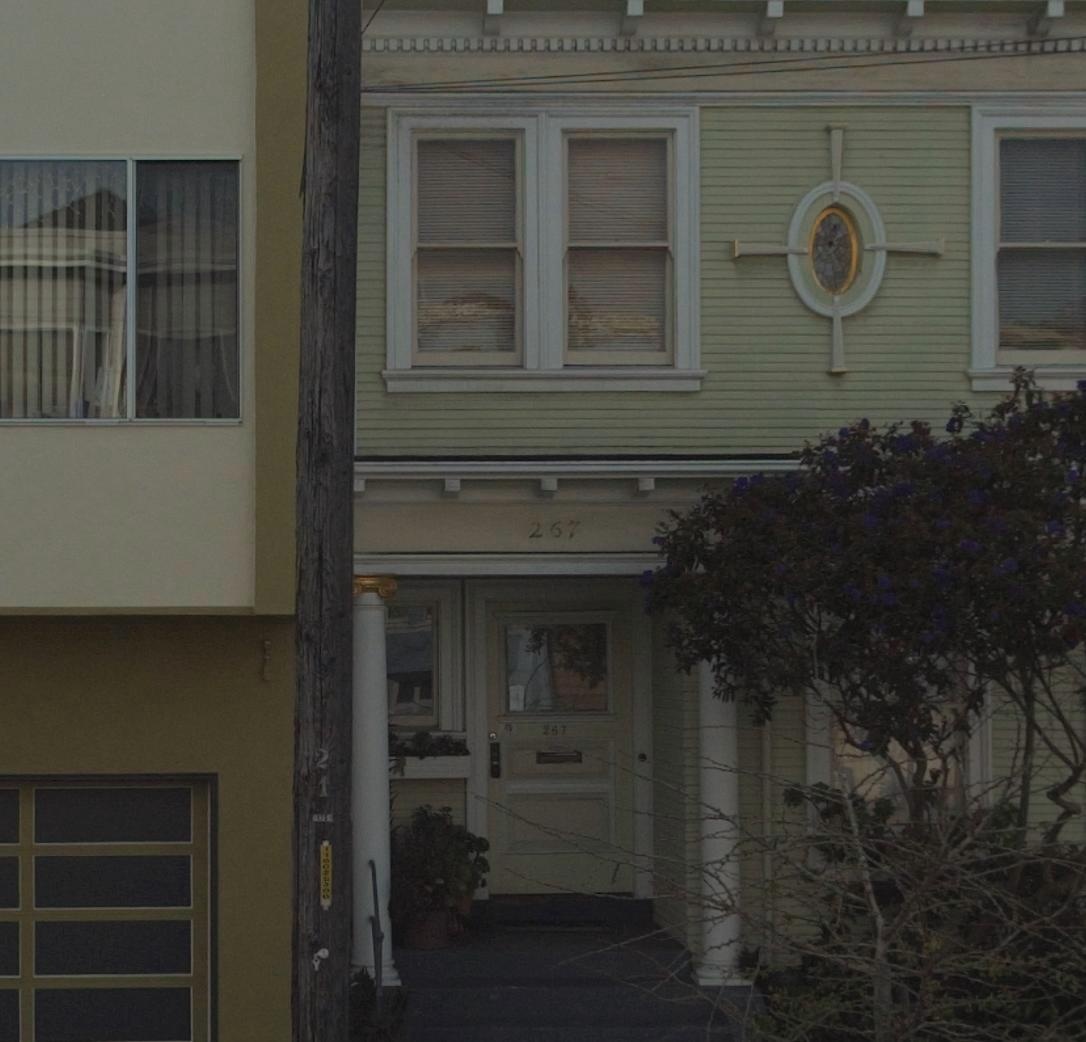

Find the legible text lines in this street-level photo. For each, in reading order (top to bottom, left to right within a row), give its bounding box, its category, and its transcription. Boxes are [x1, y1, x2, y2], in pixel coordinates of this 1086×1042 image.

[527, 519, 582, 541] StreetNumber: 267
[541, 723, 568, 737] StreetNumber: 267
[311, 744, 332, 799] None: 21
[323, 845, 331, 872] None: 1100